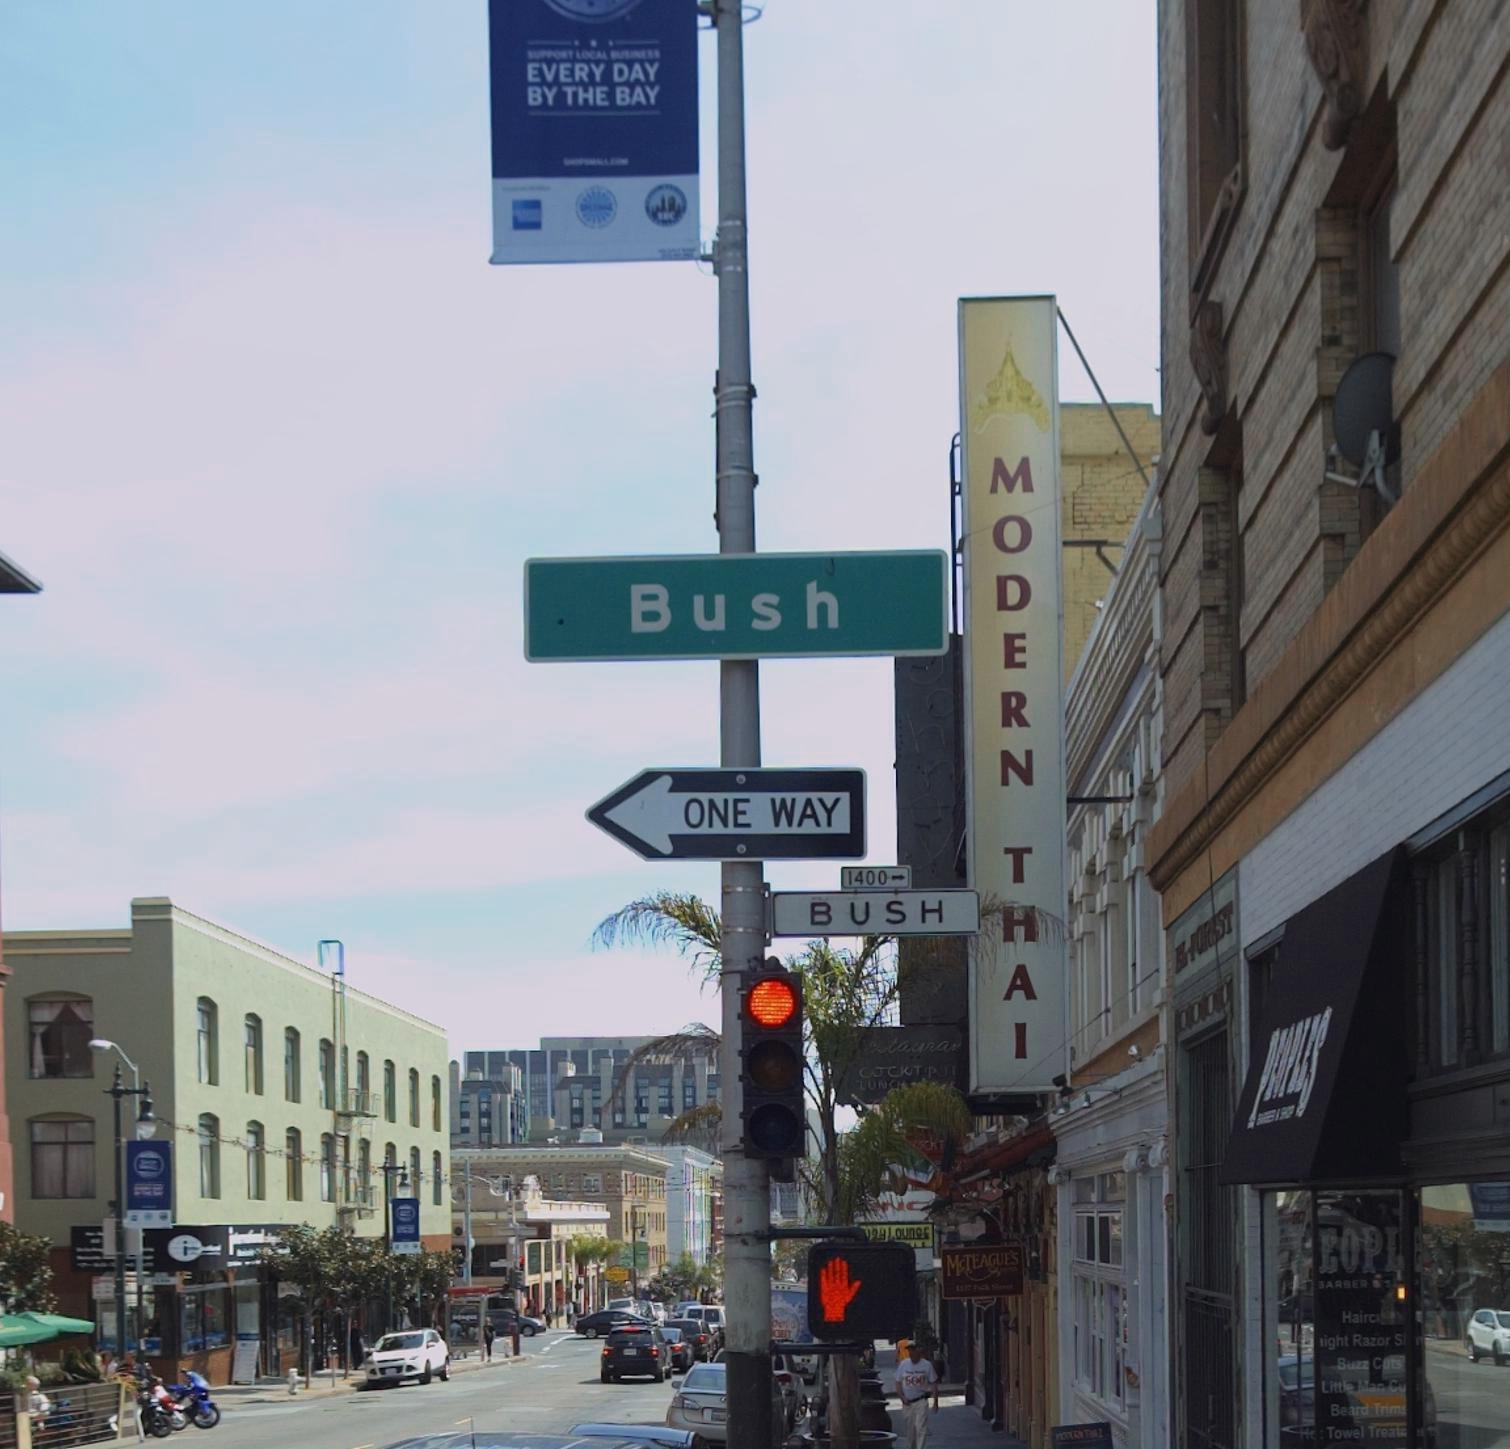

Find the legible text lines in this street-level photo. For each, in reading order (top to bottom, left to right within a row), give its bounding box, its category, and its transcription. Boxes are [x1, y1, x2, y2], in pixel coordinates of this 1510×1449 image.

[523, 58, 663, 85] None: EVERY DAY
[525, 82, 663, 109] None: BY THE BAY
[628, 576, 842, 636] StreetName: Bush
[984, 445, 1043, 1070] BusinessName: MODERN THAI
[680, 793, 845, 833] None: ONE WAY
[846, 867, 909, 888] StreetNumberRange: 1400
[807, 897, 946, 928] StreetName: BUSH
[857, 1063, 940, 1081] BusinessName: **CKT P
[1292, 1001, 1336, 1122] BusinessName: S
[892, 1225, 917, 1240] None: oun
[181, 1238, 190, 1258] None: i
[1314, 1222, 1404, 1278] BusinessName: EOPI
[943, 1248, 1022, 1280] BusinessName: McTEAGUE'S
[1314, 1277, 1371, 1293] None: BARBER
[1340, 1307, 1378, 1326] None: Hairc
[1321, 1329, 1405, 1353] None: ight Razor S
[1335, 1353, 1404, 1372] None: Buzz Cuts
[1319, 1376, 1409, 1396] None: Little Man Cu
[1328, 1400, 1404, 1420] None: Beard Trim
[1324, 1423, 1402, 1442] None: Towel Treat